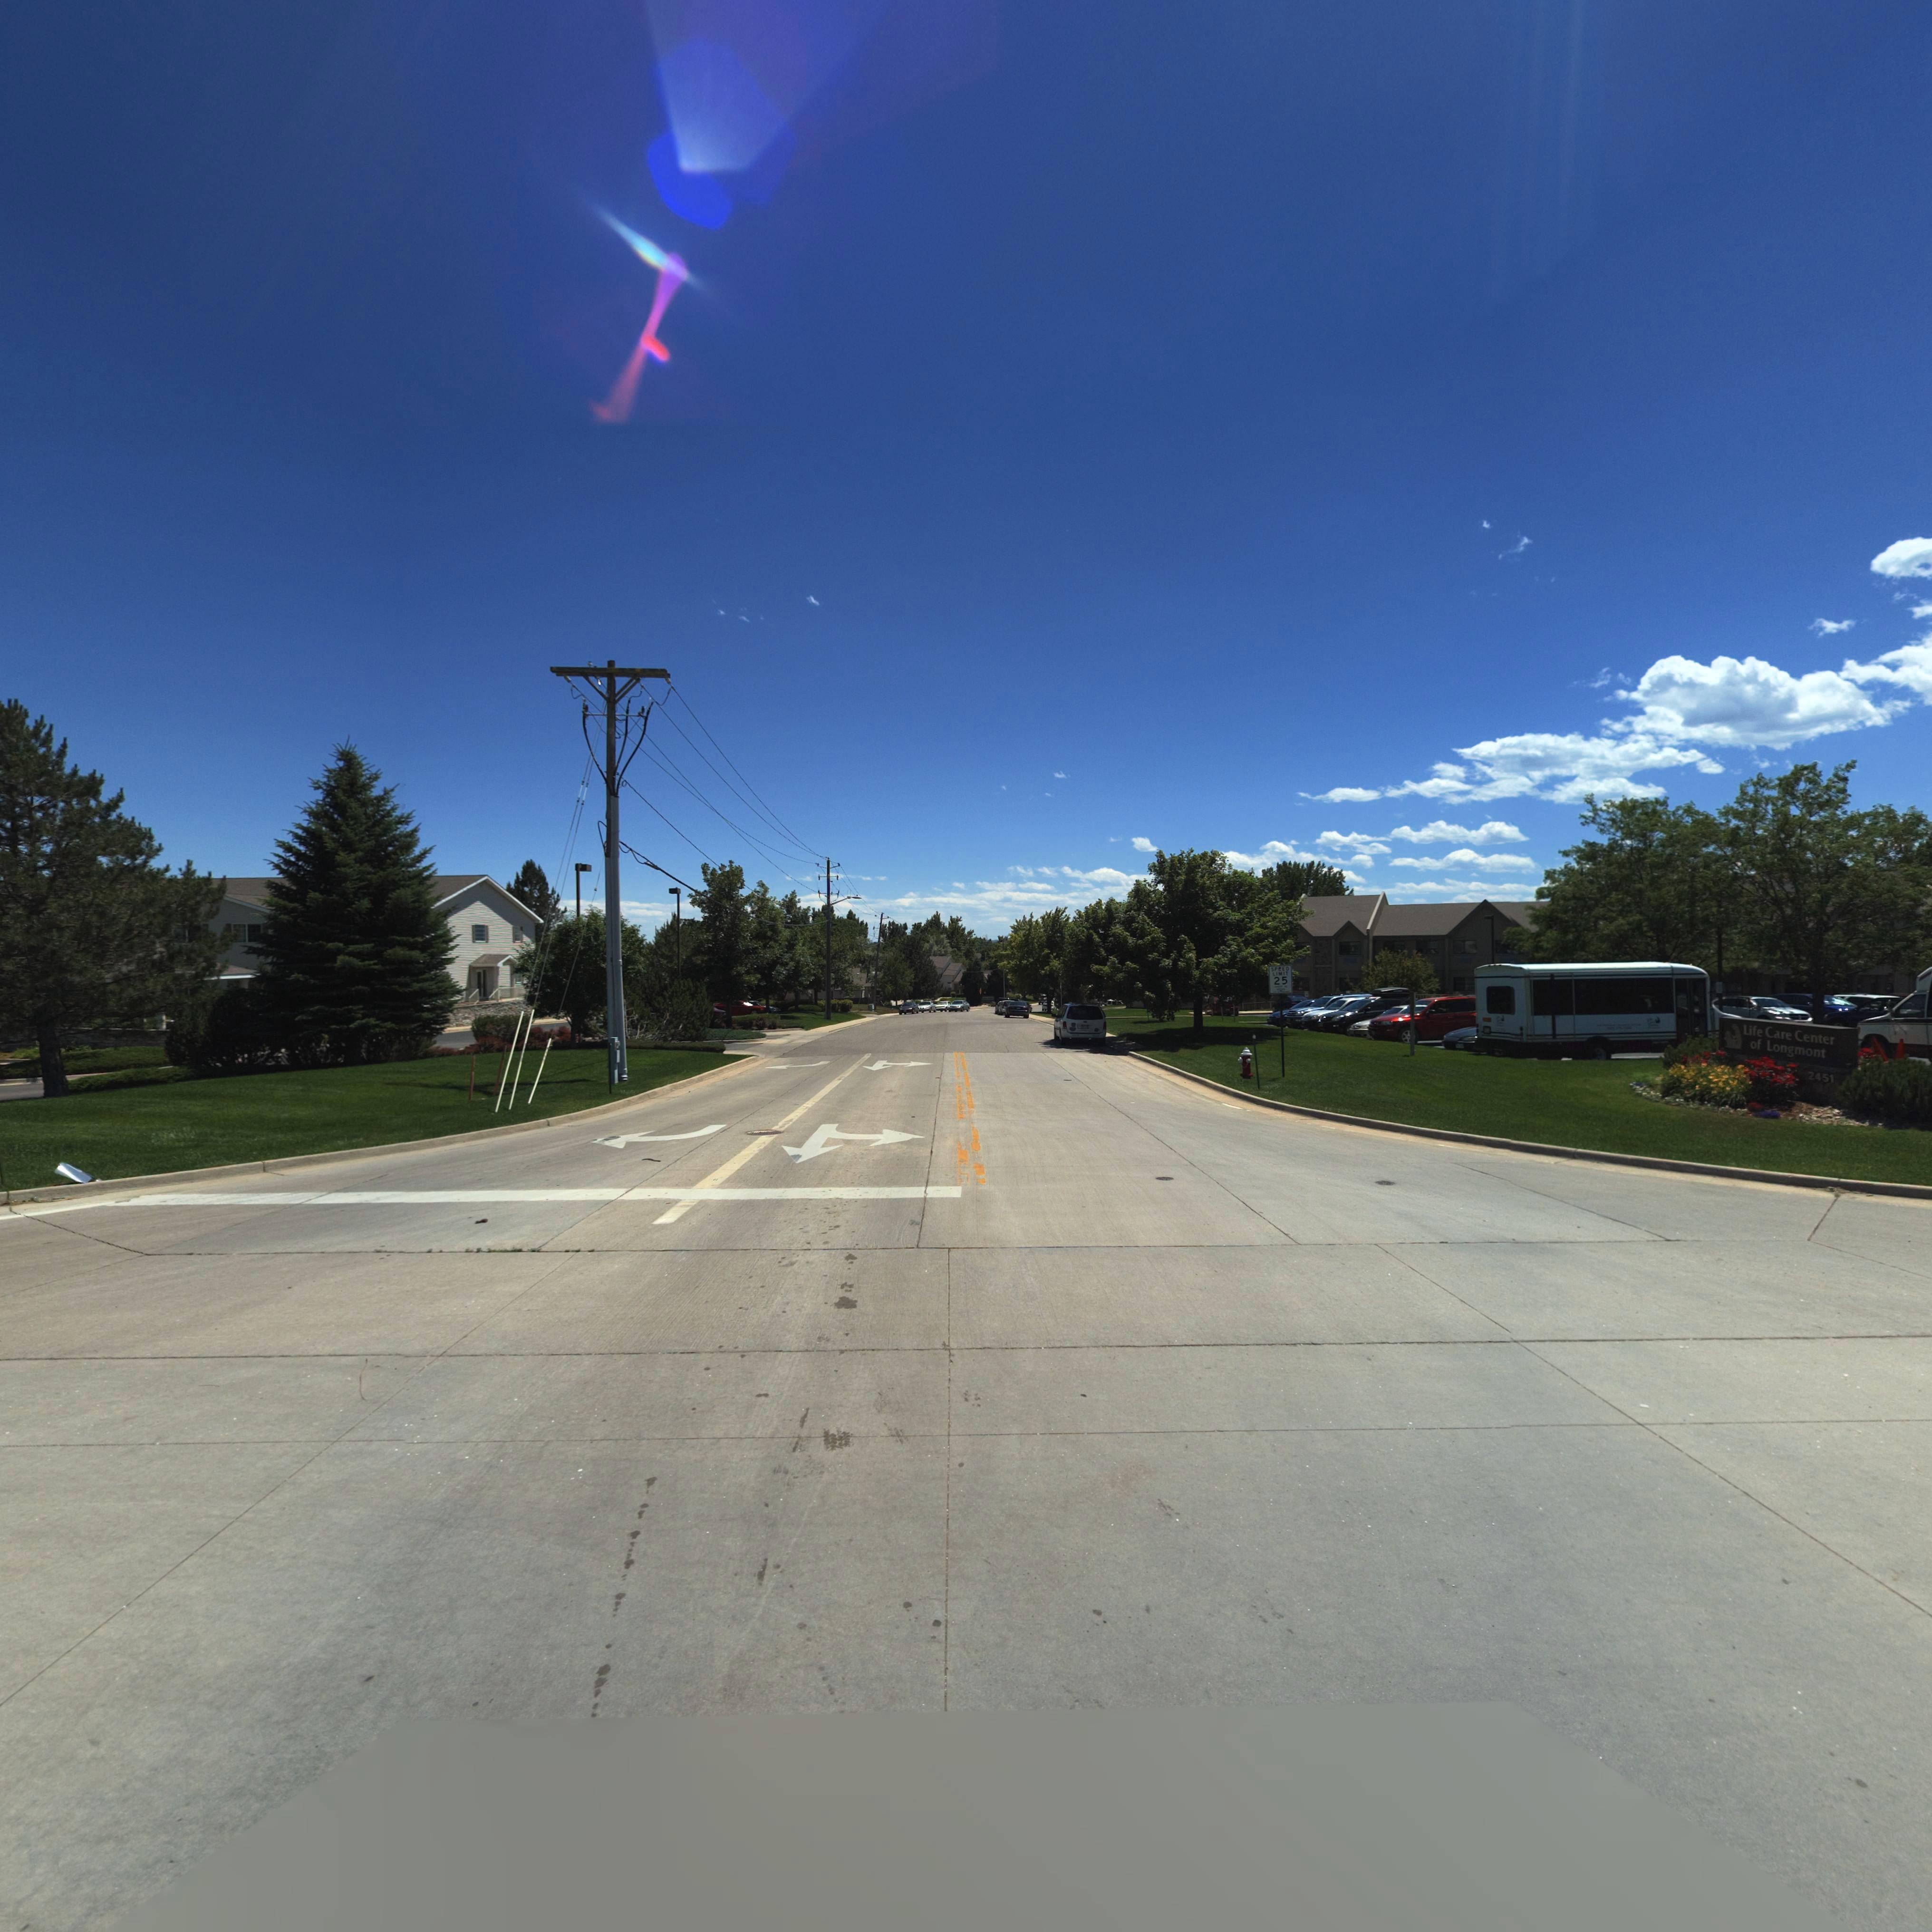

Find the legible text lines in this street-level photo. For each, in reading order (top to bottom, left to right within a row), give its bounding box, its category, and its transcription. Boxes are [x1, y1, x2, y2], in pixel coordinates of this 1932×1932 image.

[1743, 1024, 1836, 1045] BusinessName: Life Care Center
[1749, 1038, 1827, 1058] BusinessName: of Longmont
[1807, 1071, 1834, 1084] StreetNumber: 2451